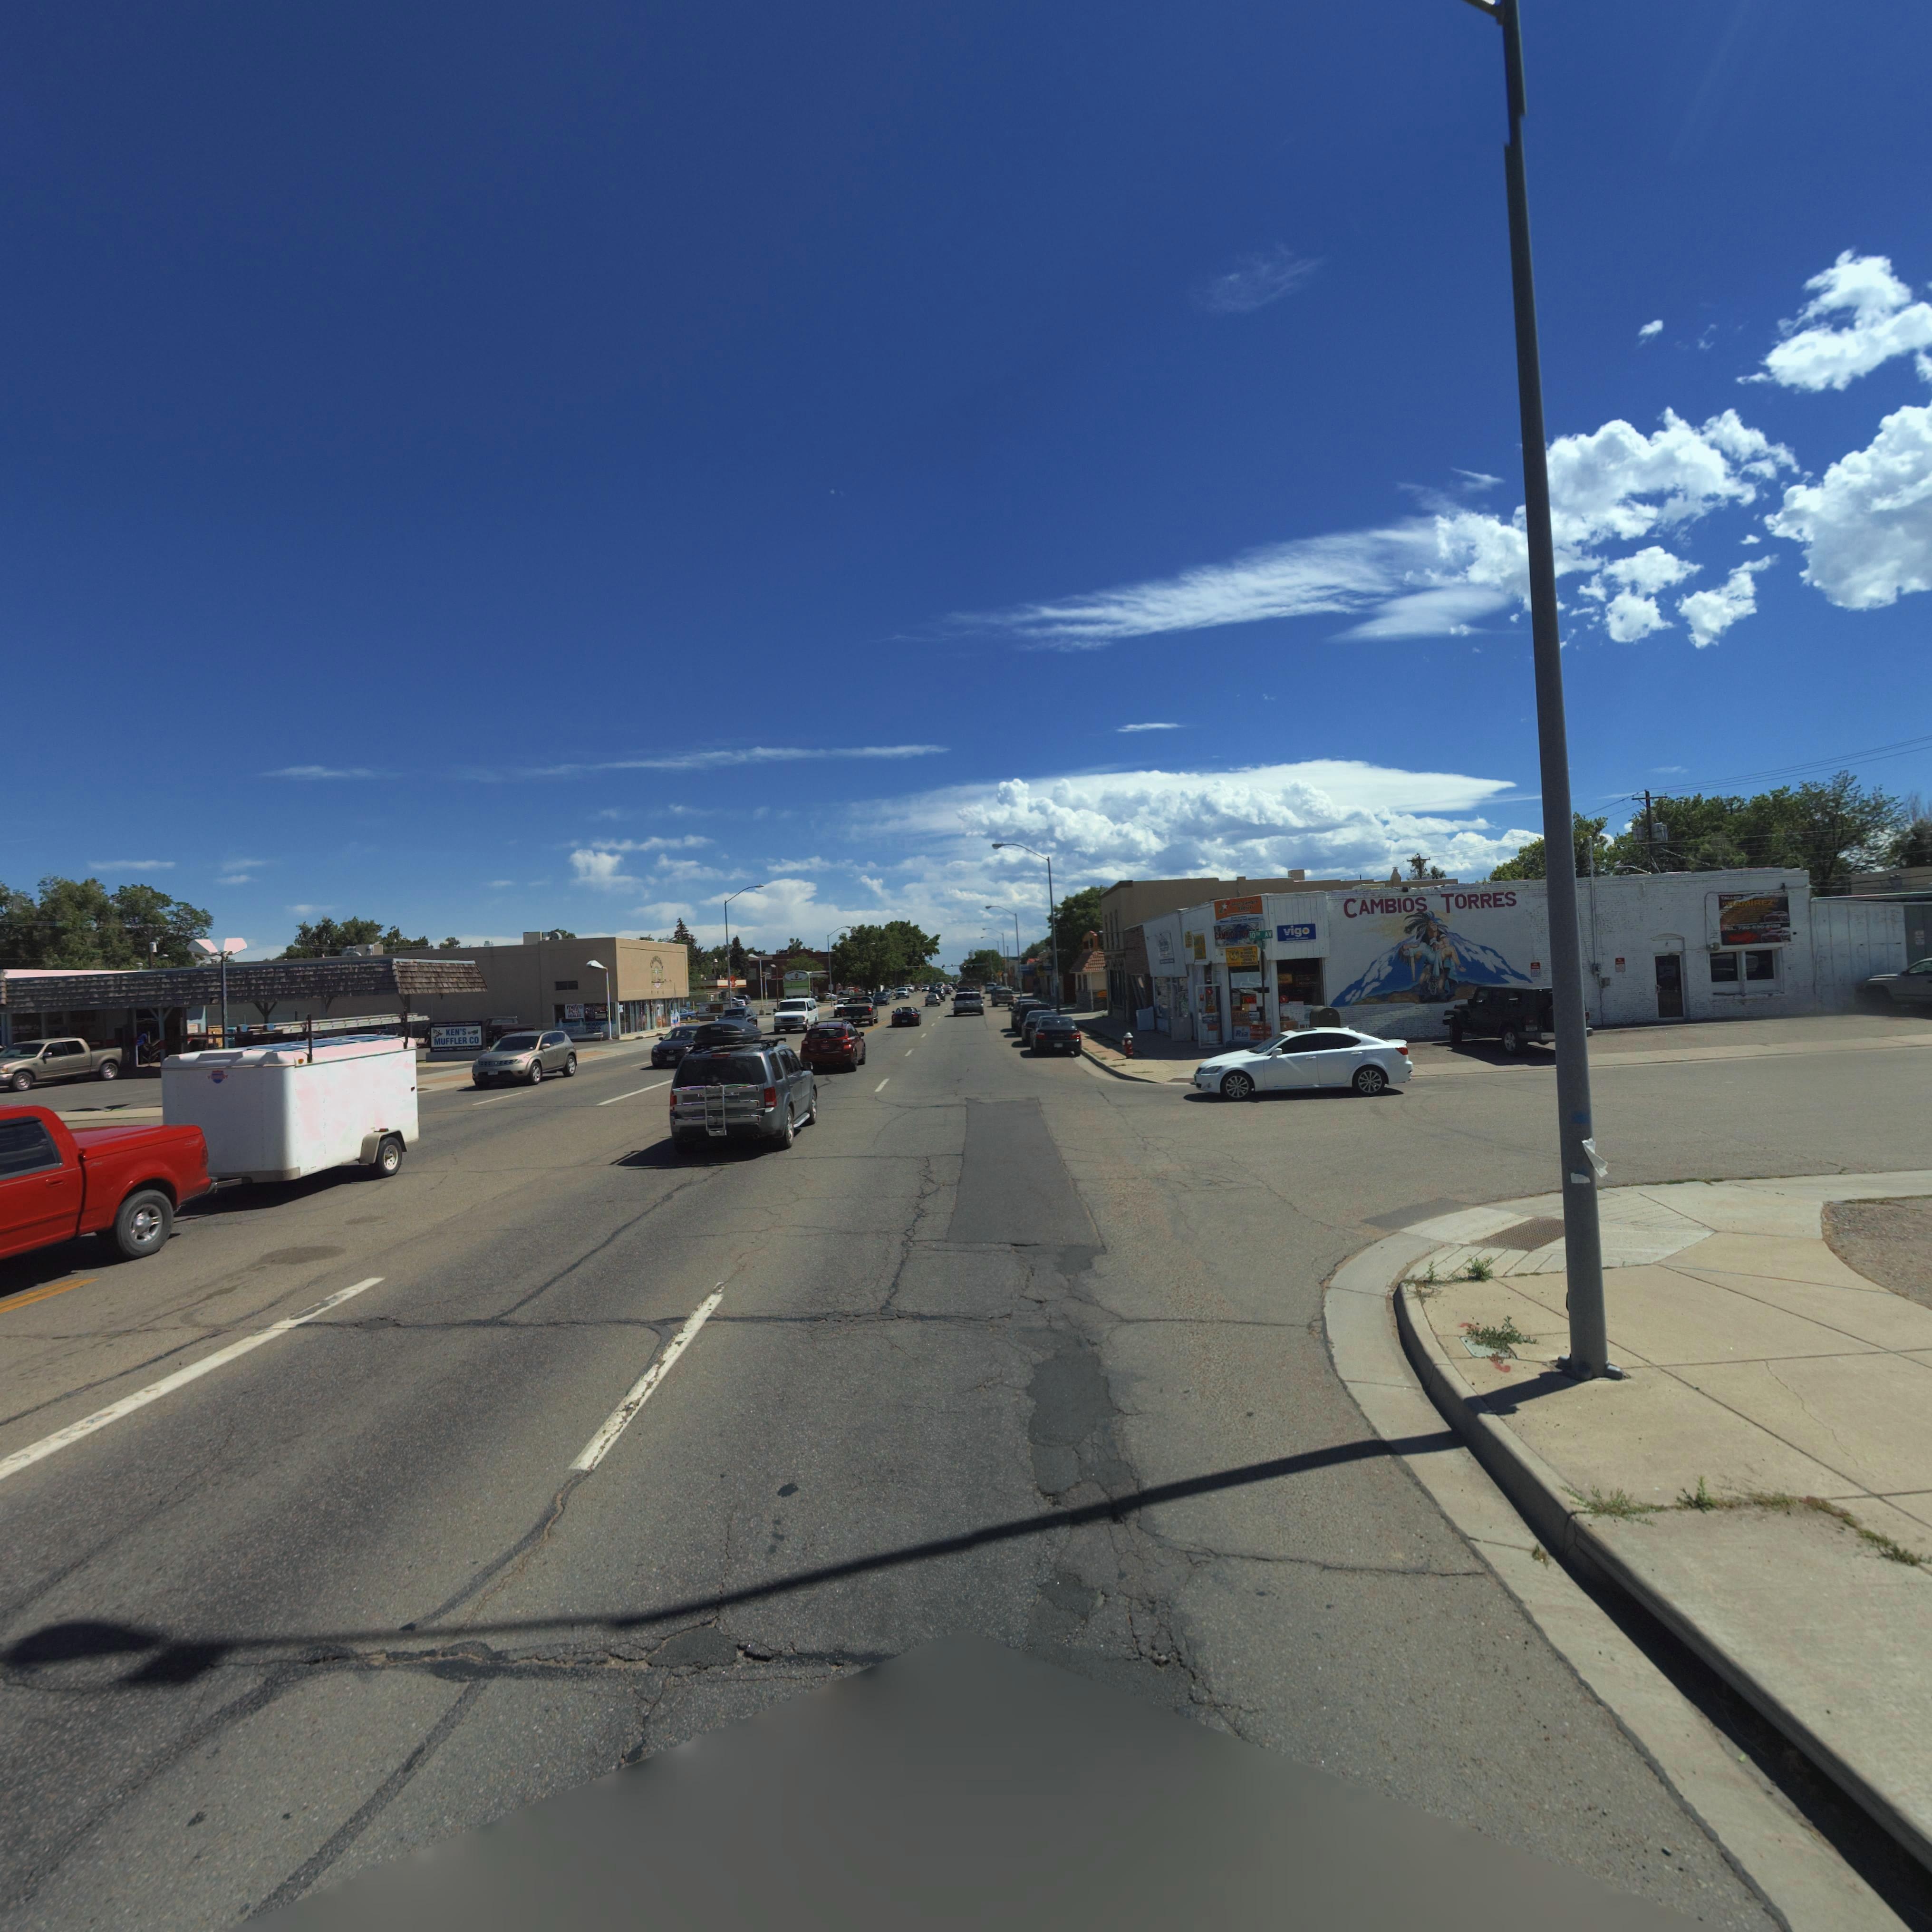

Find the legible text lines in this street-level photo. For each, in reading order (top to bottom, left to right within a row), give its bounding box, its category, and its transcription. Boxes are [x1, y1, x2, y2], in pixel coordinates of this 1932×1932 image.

[1343, 890, 1517, 918] BusinessName: CAMBIOS TORRES
[1214, 930, 1249, 940] BusinessName: CAMBIOS TOR
[1249, 931, 1272, 939] StreetName: 10TH AV
[649, 955, 664, 969] BusinessName: C********
[446, 1028, 466, 1036] BusinessName: KEN'S
[434, 1036, 479, 1045] BusinessName: MUFFLER CO